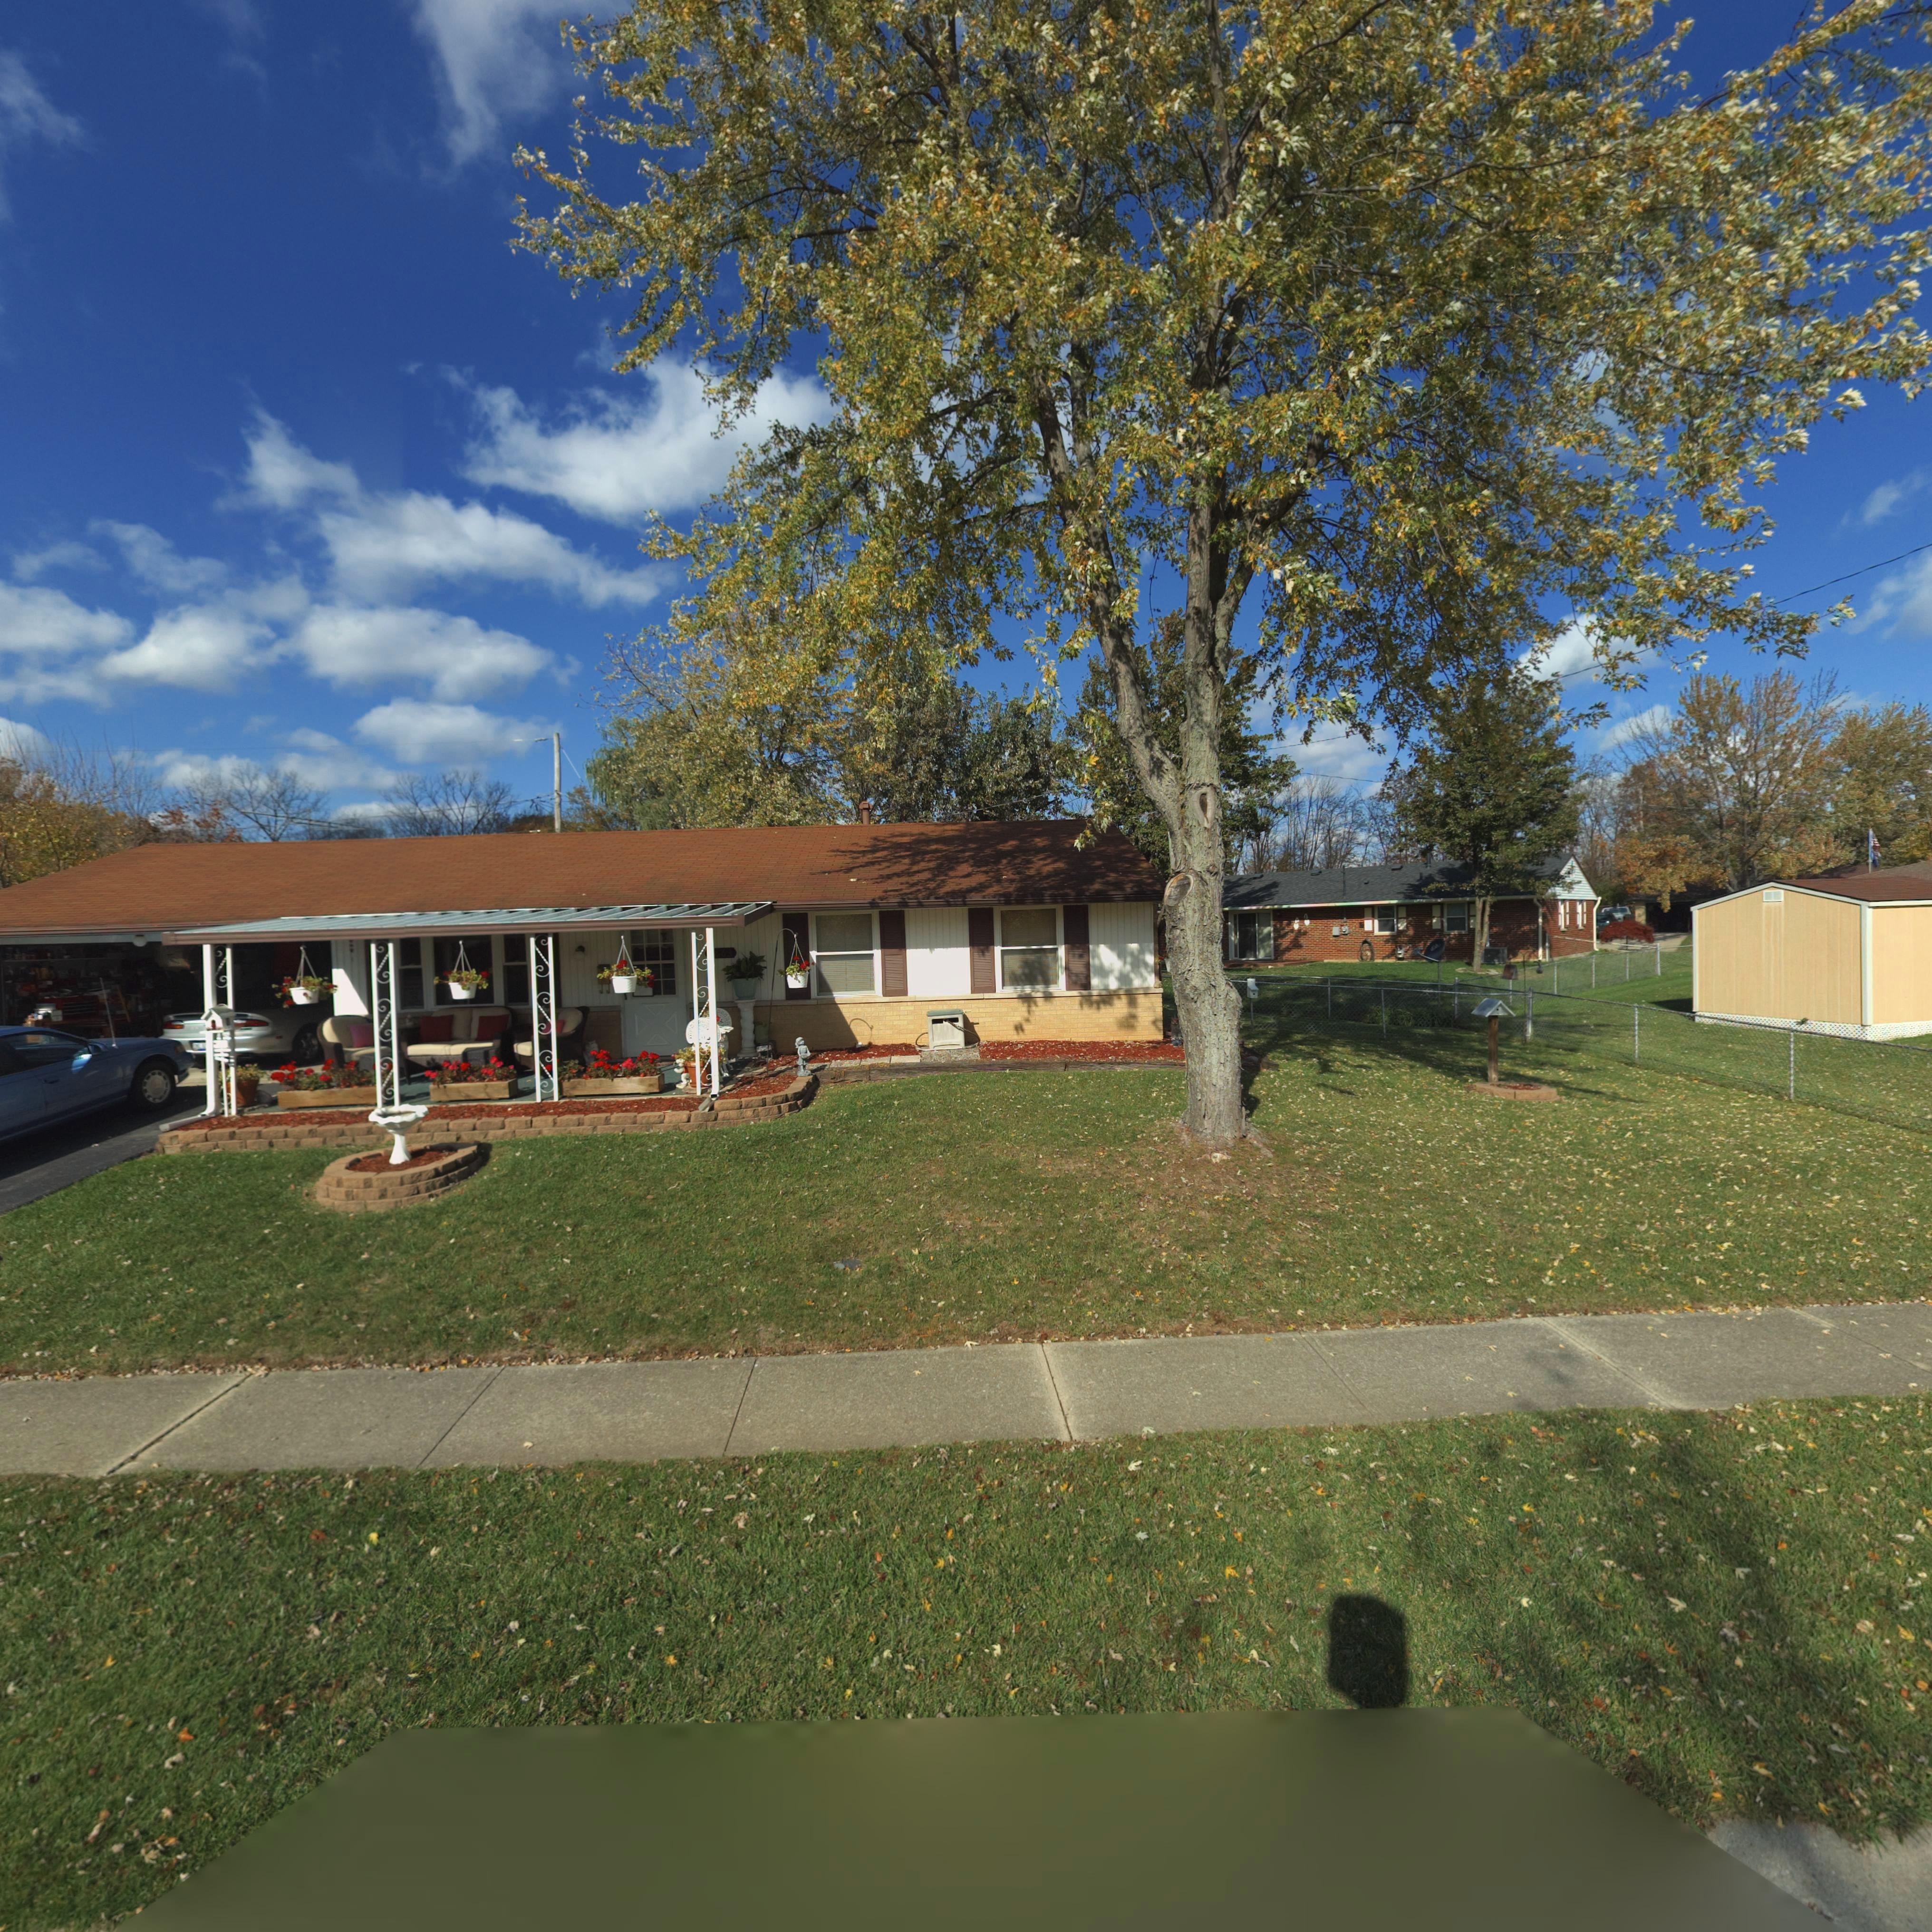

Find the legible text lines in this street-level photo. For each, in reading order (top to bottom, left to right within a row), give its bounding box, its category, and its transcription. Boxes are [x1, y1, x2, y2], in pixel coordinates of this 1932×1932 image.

[715, 948, 733, 957] StreetNumber: 663